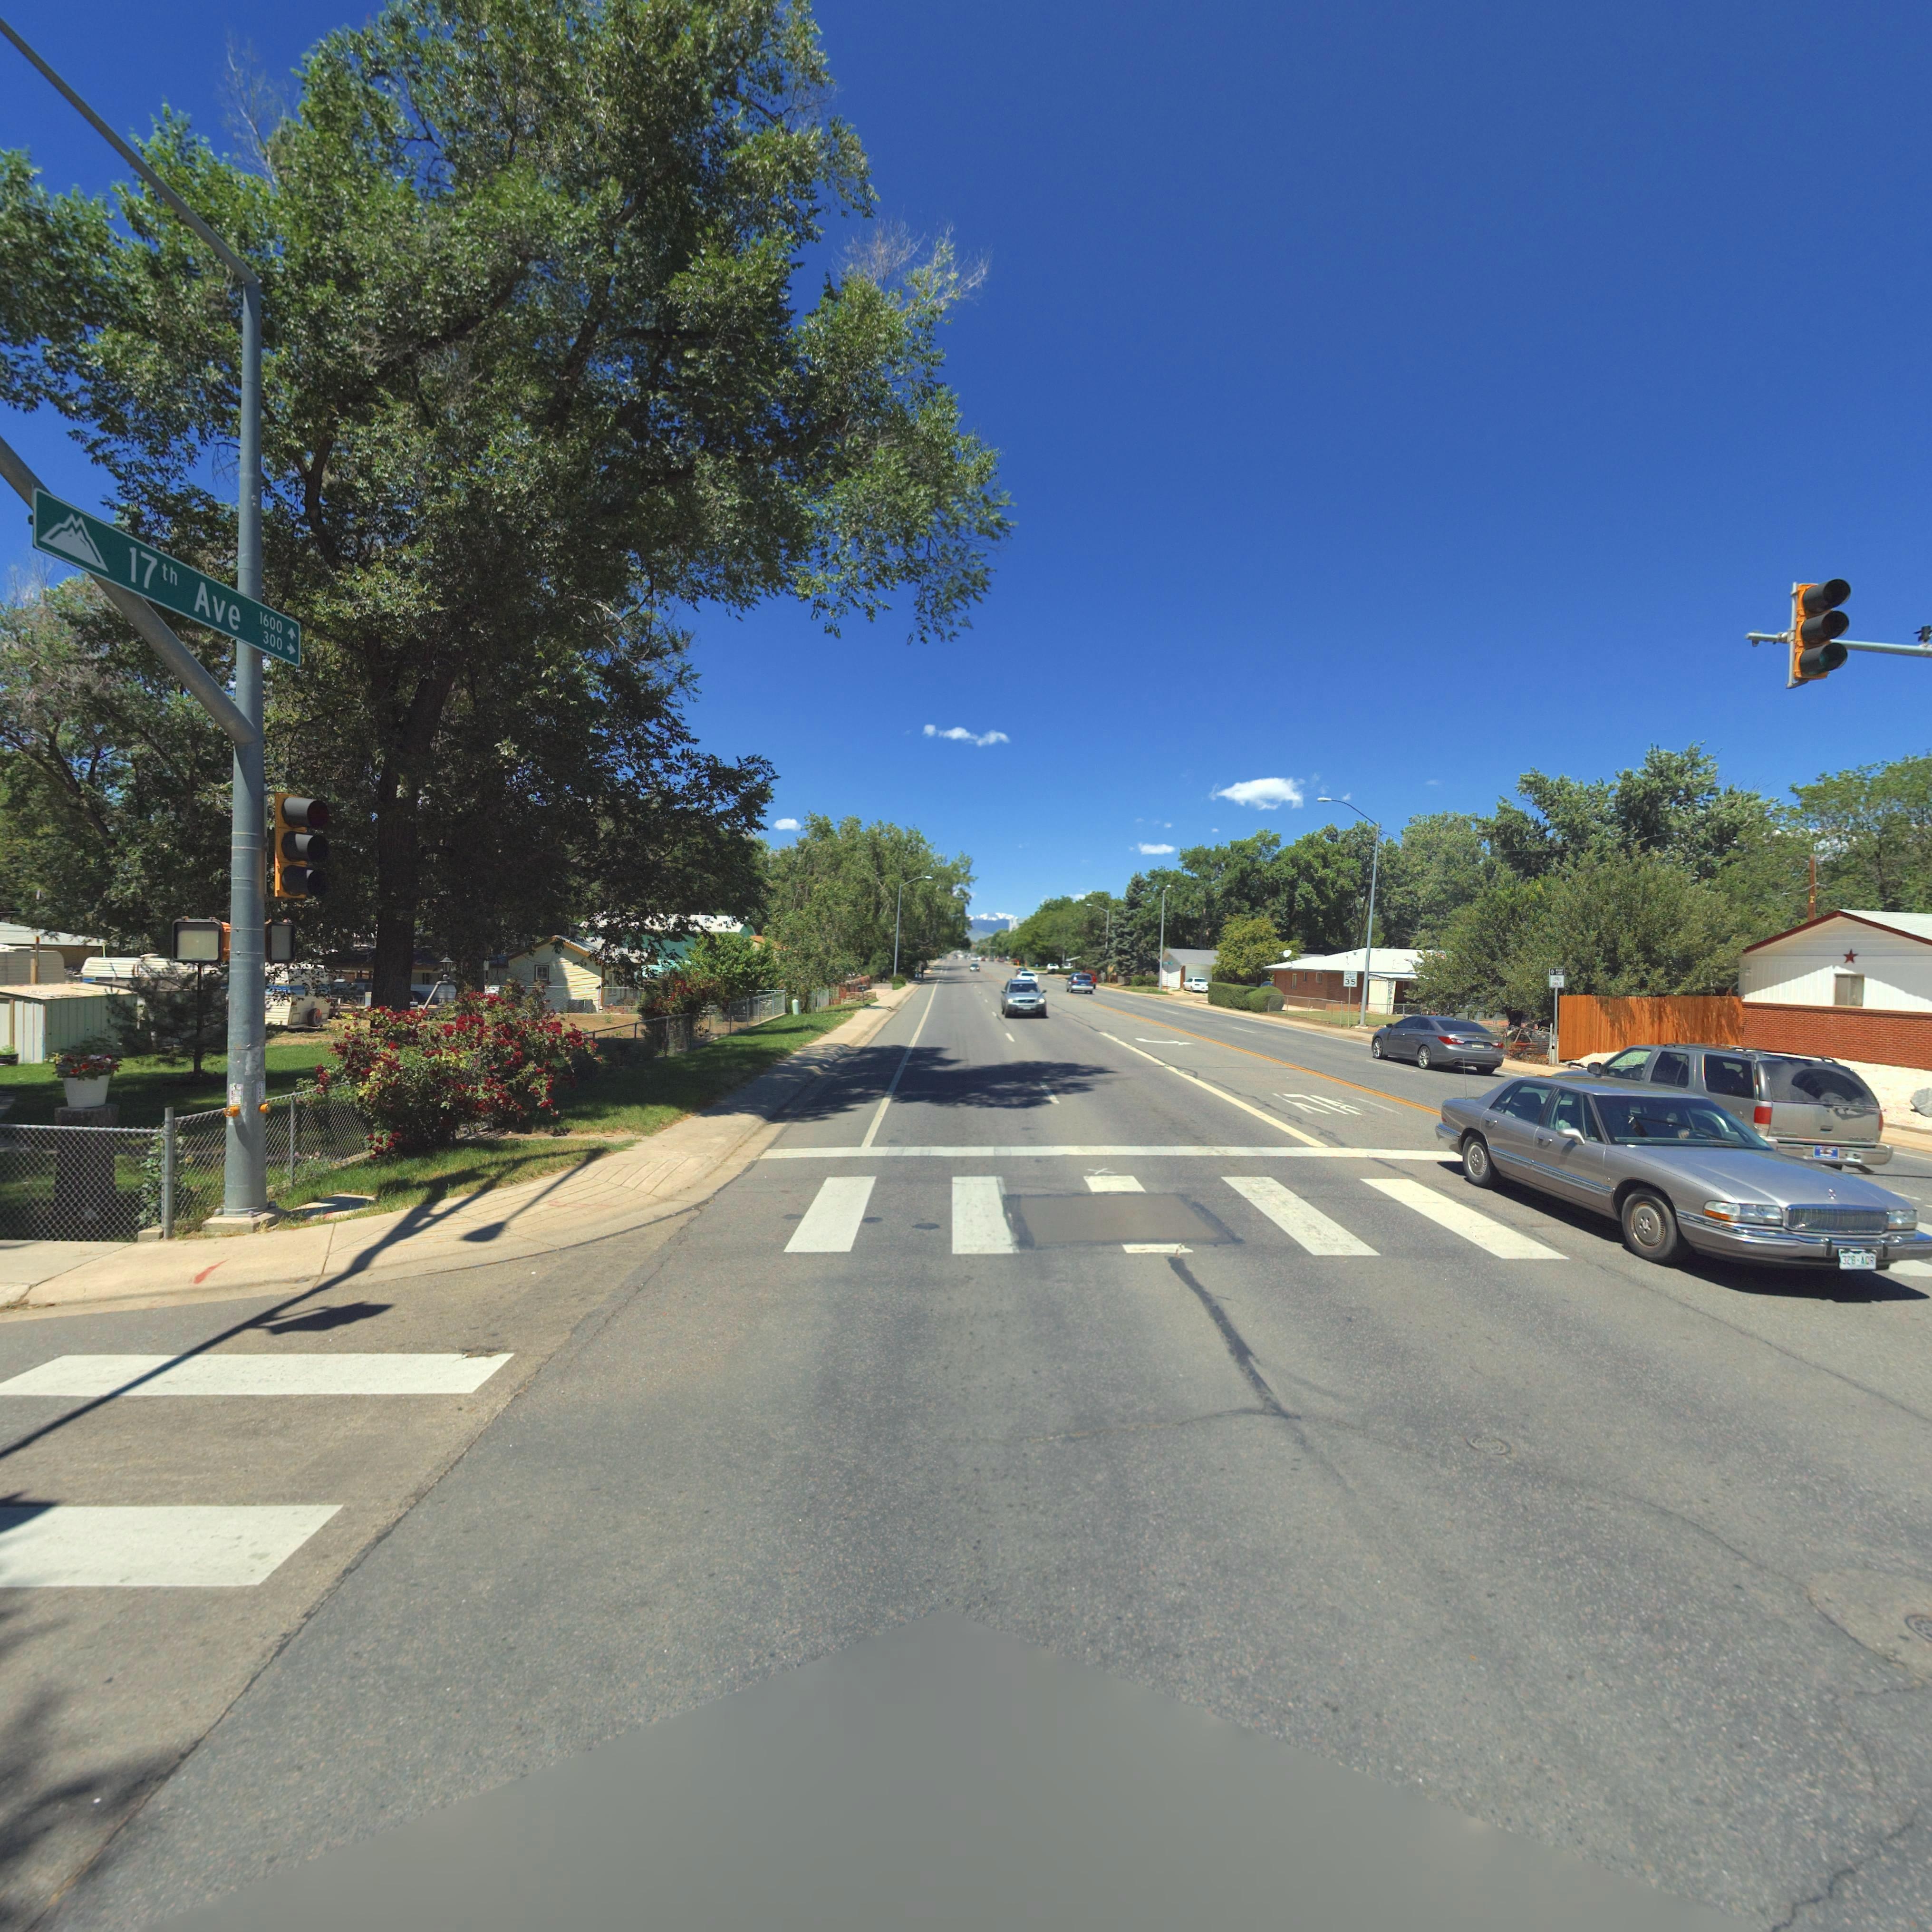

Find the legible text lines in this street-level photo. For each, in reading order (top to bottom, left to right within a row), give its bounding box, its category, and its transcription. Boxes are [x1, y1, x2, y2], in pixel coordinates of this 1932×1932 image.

[129, 546, 241, 631] StreetName: 17th Ave
[259, 611, 282, 633] StreetNumberRange: 1600
[262, 630, 296, 655] StreetNumberRange: 300->